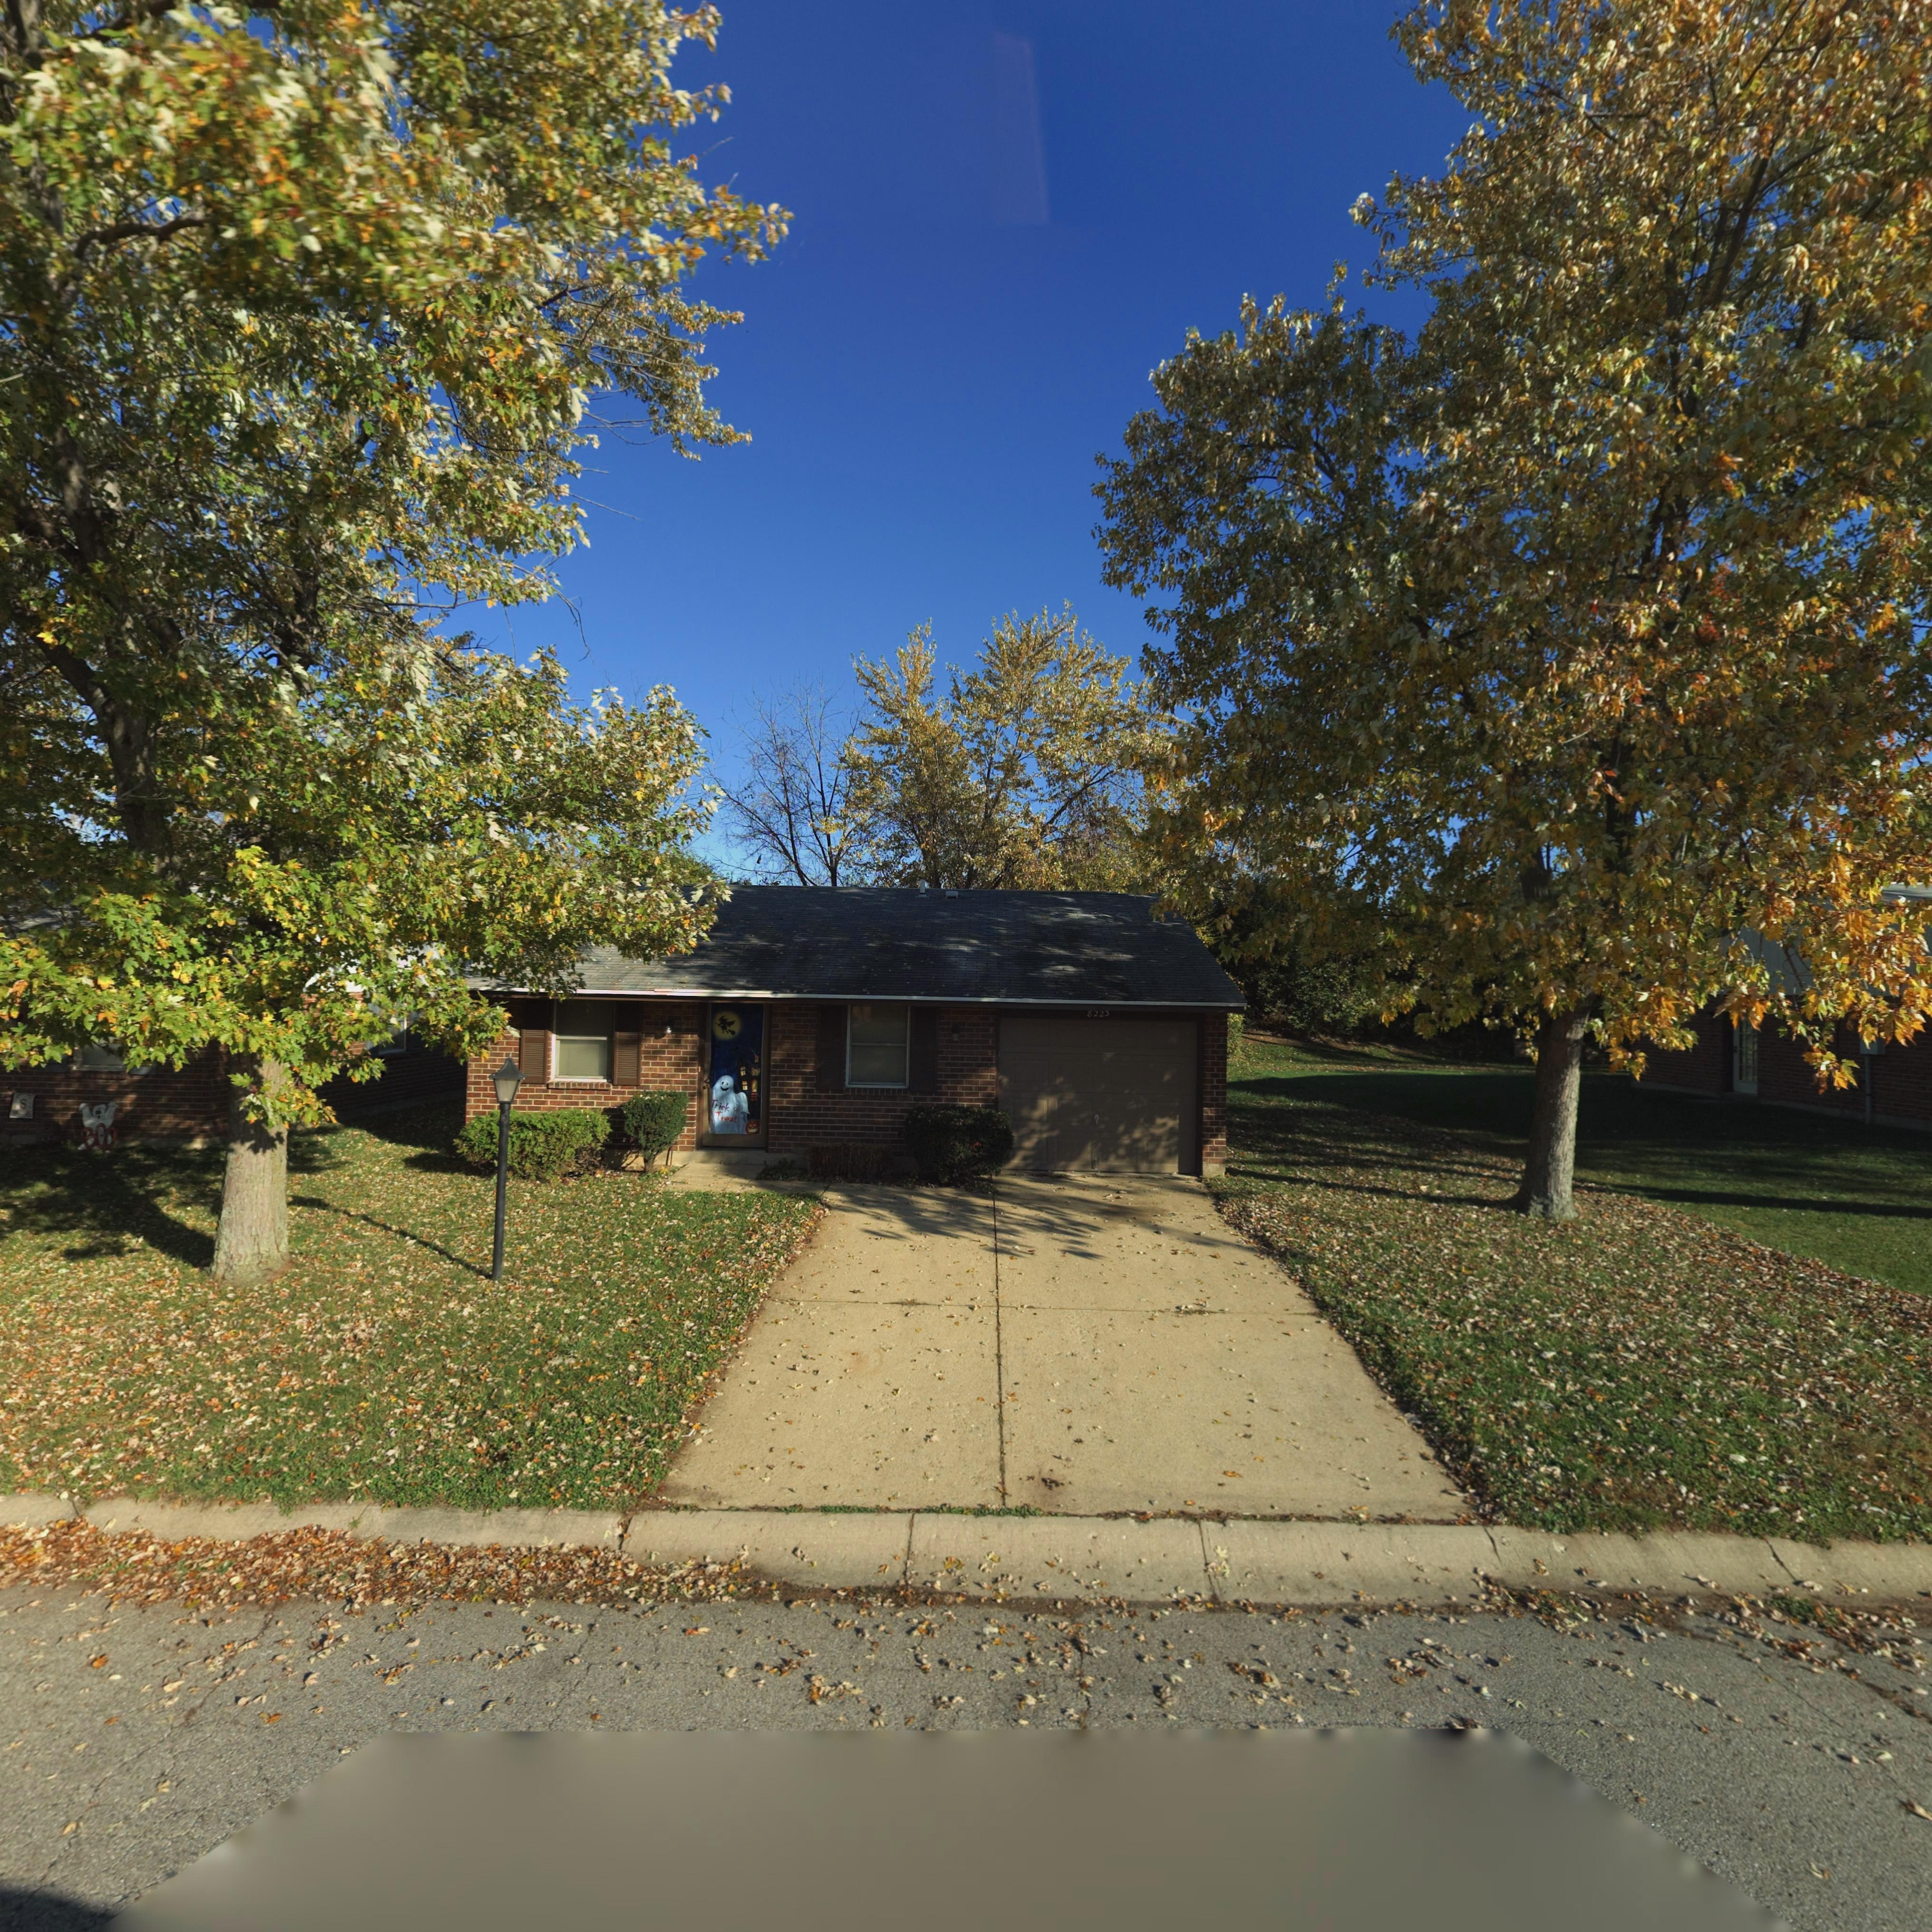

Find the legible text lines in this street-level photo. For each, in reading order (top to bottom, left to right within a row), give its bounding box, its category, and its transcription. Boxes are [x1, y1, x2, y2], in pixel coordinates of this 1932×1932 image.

[1087, 1009, 1110, 1018] StreetNumber: 8223